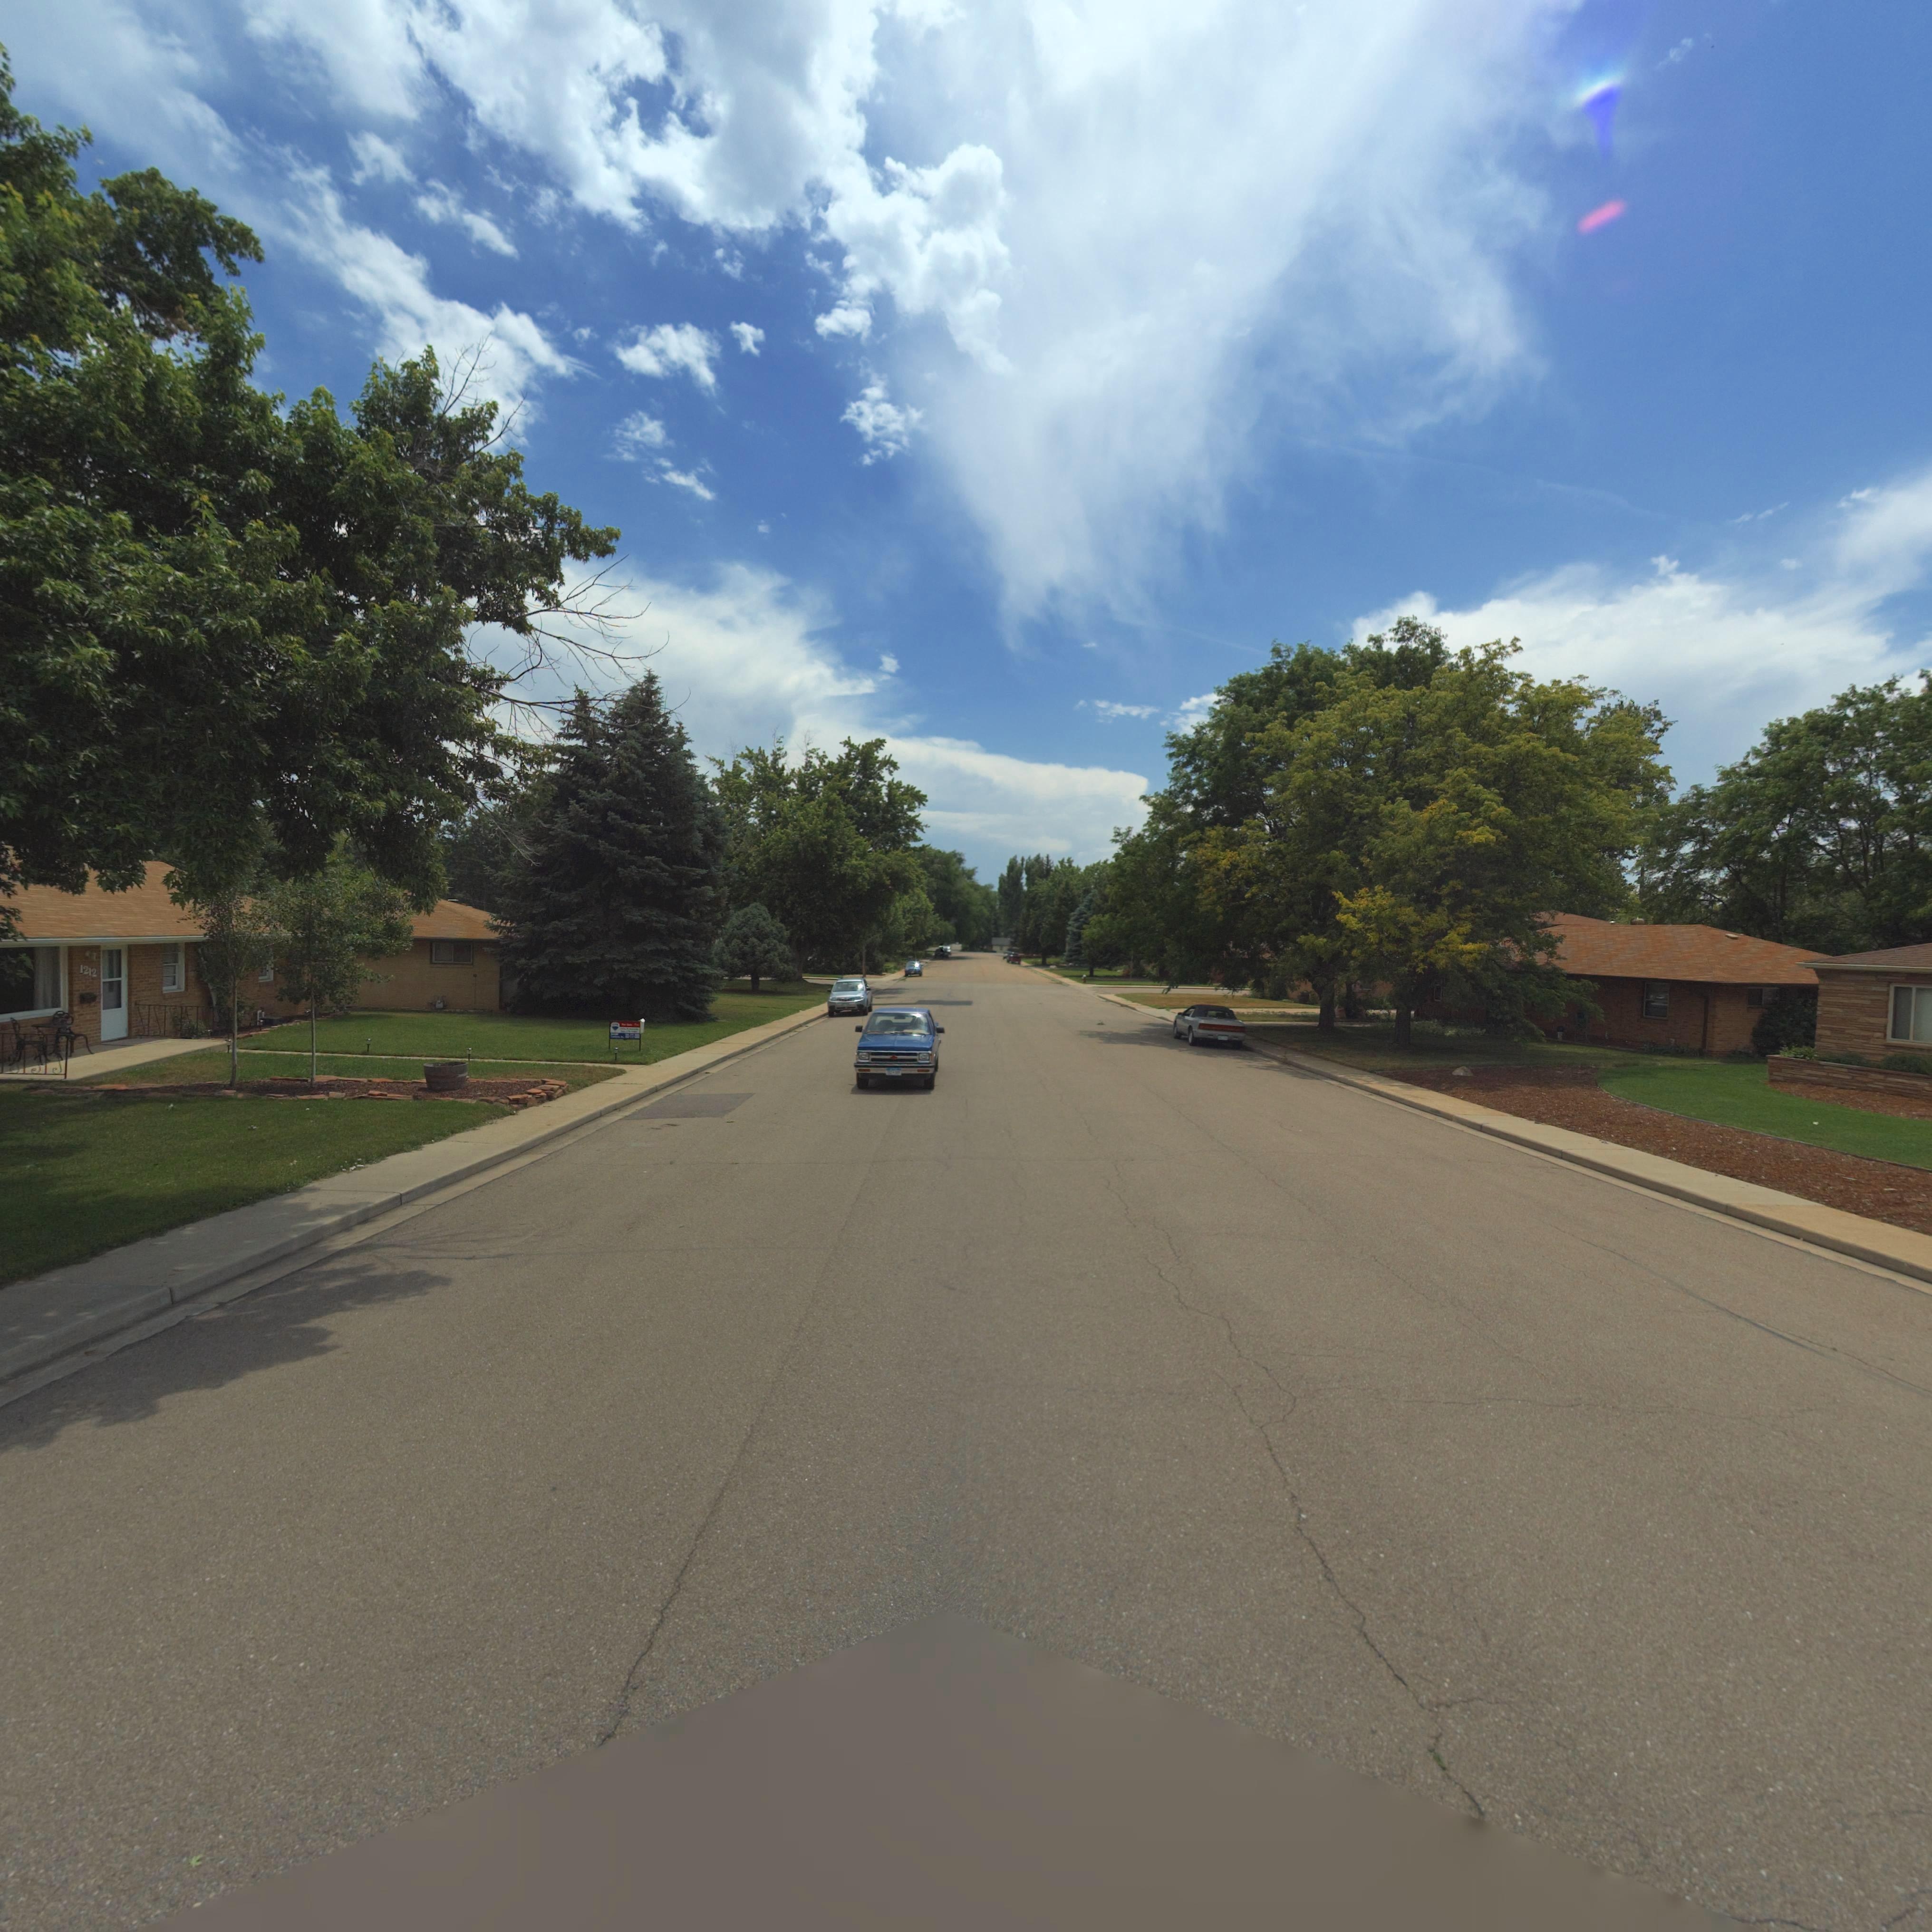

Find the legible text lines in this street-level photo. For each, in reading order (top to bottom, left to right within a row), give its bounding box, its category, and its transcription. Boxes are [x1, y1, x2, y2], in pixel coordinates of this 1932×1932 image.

[79, 964, 97, 978] StreetNumber: 1212